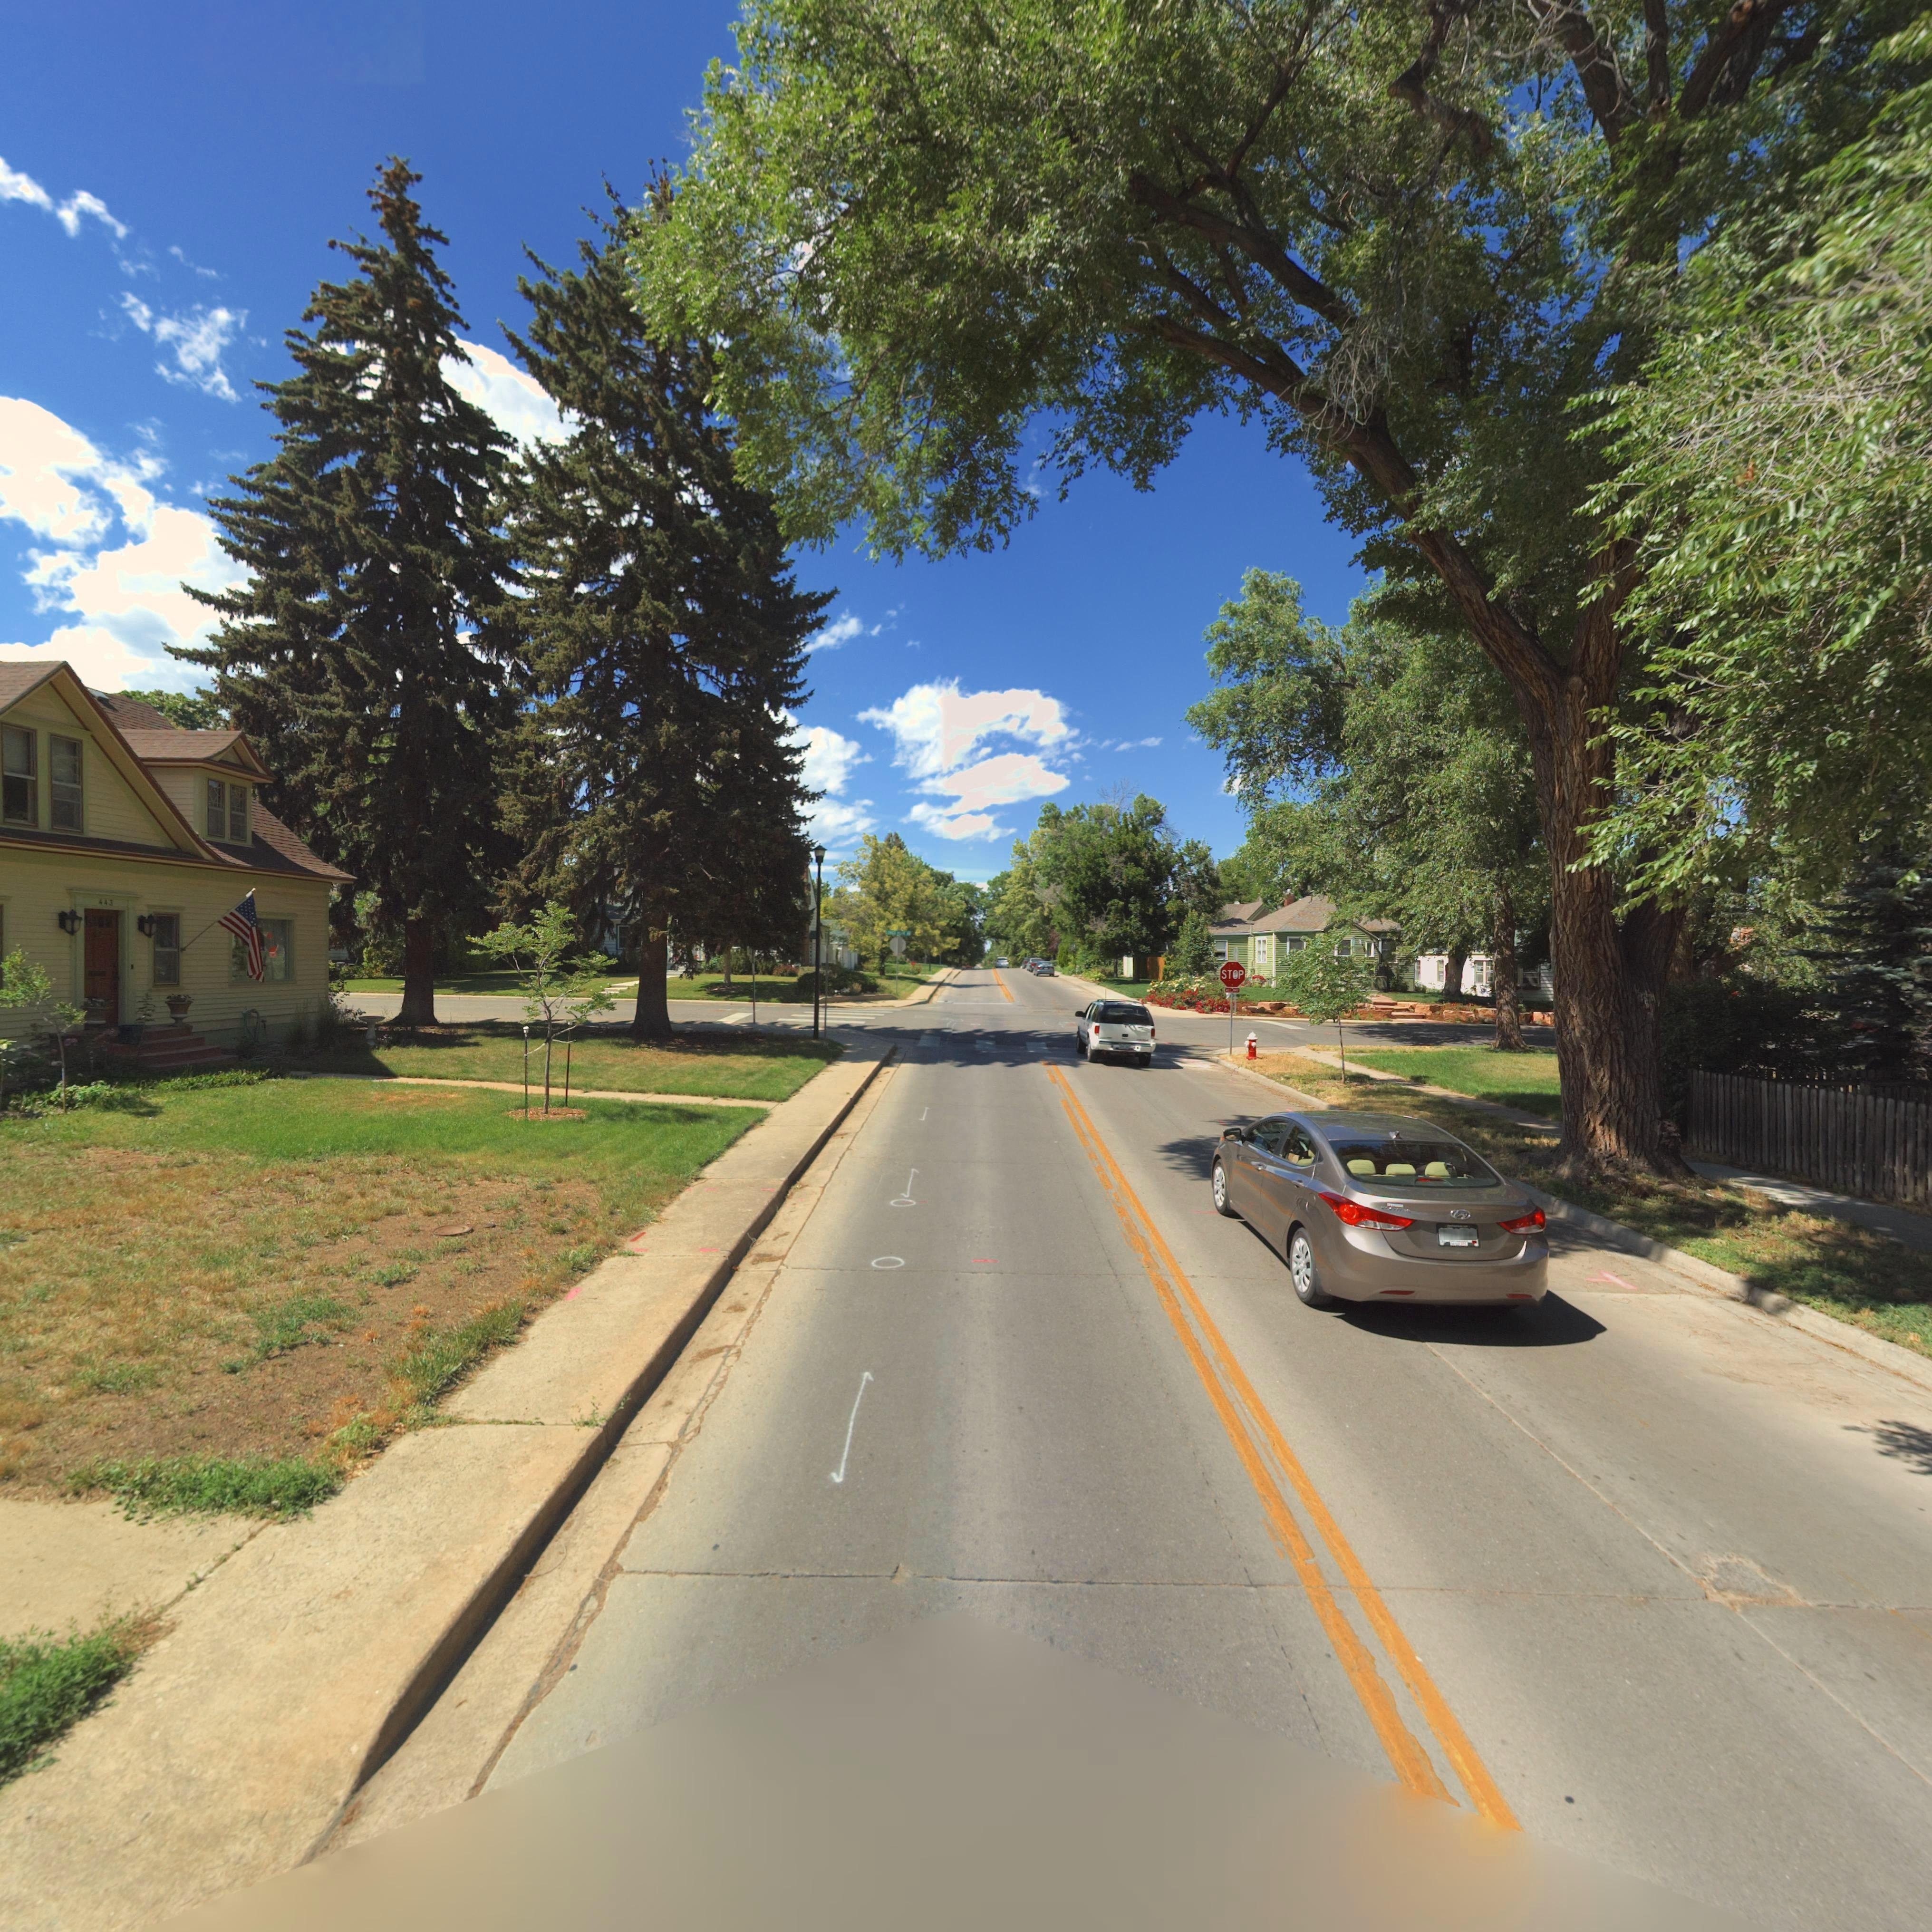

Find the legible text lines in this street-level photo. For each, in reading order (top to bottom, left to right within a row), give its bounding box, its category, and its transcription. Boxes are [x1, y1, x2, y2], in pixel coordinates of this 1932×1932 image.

[97, 898, 113, 906] StreetNumber: 443
[886, 930, 911, 935] StreetName: LO*G* **** **